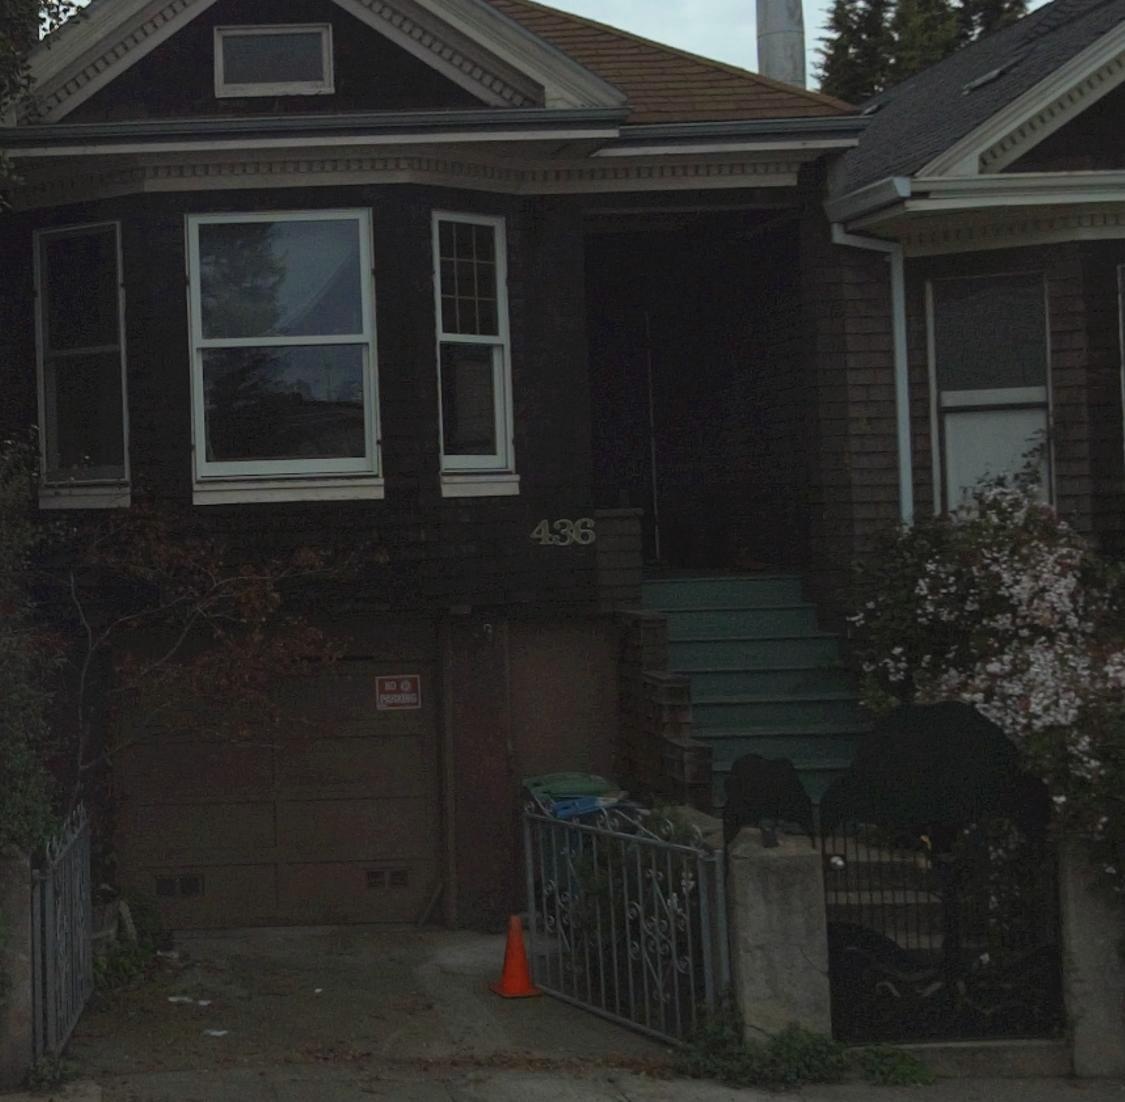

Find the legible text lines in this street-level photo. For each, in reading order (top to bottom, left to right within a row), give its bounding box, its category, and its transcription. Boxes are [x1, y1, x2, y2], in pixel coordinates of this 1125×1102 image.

[528, 517, 597, 547] StreetNumber: 436
[384, 680, 397, 692] None: NO
[379, 693, 417, 705] None: PARKING